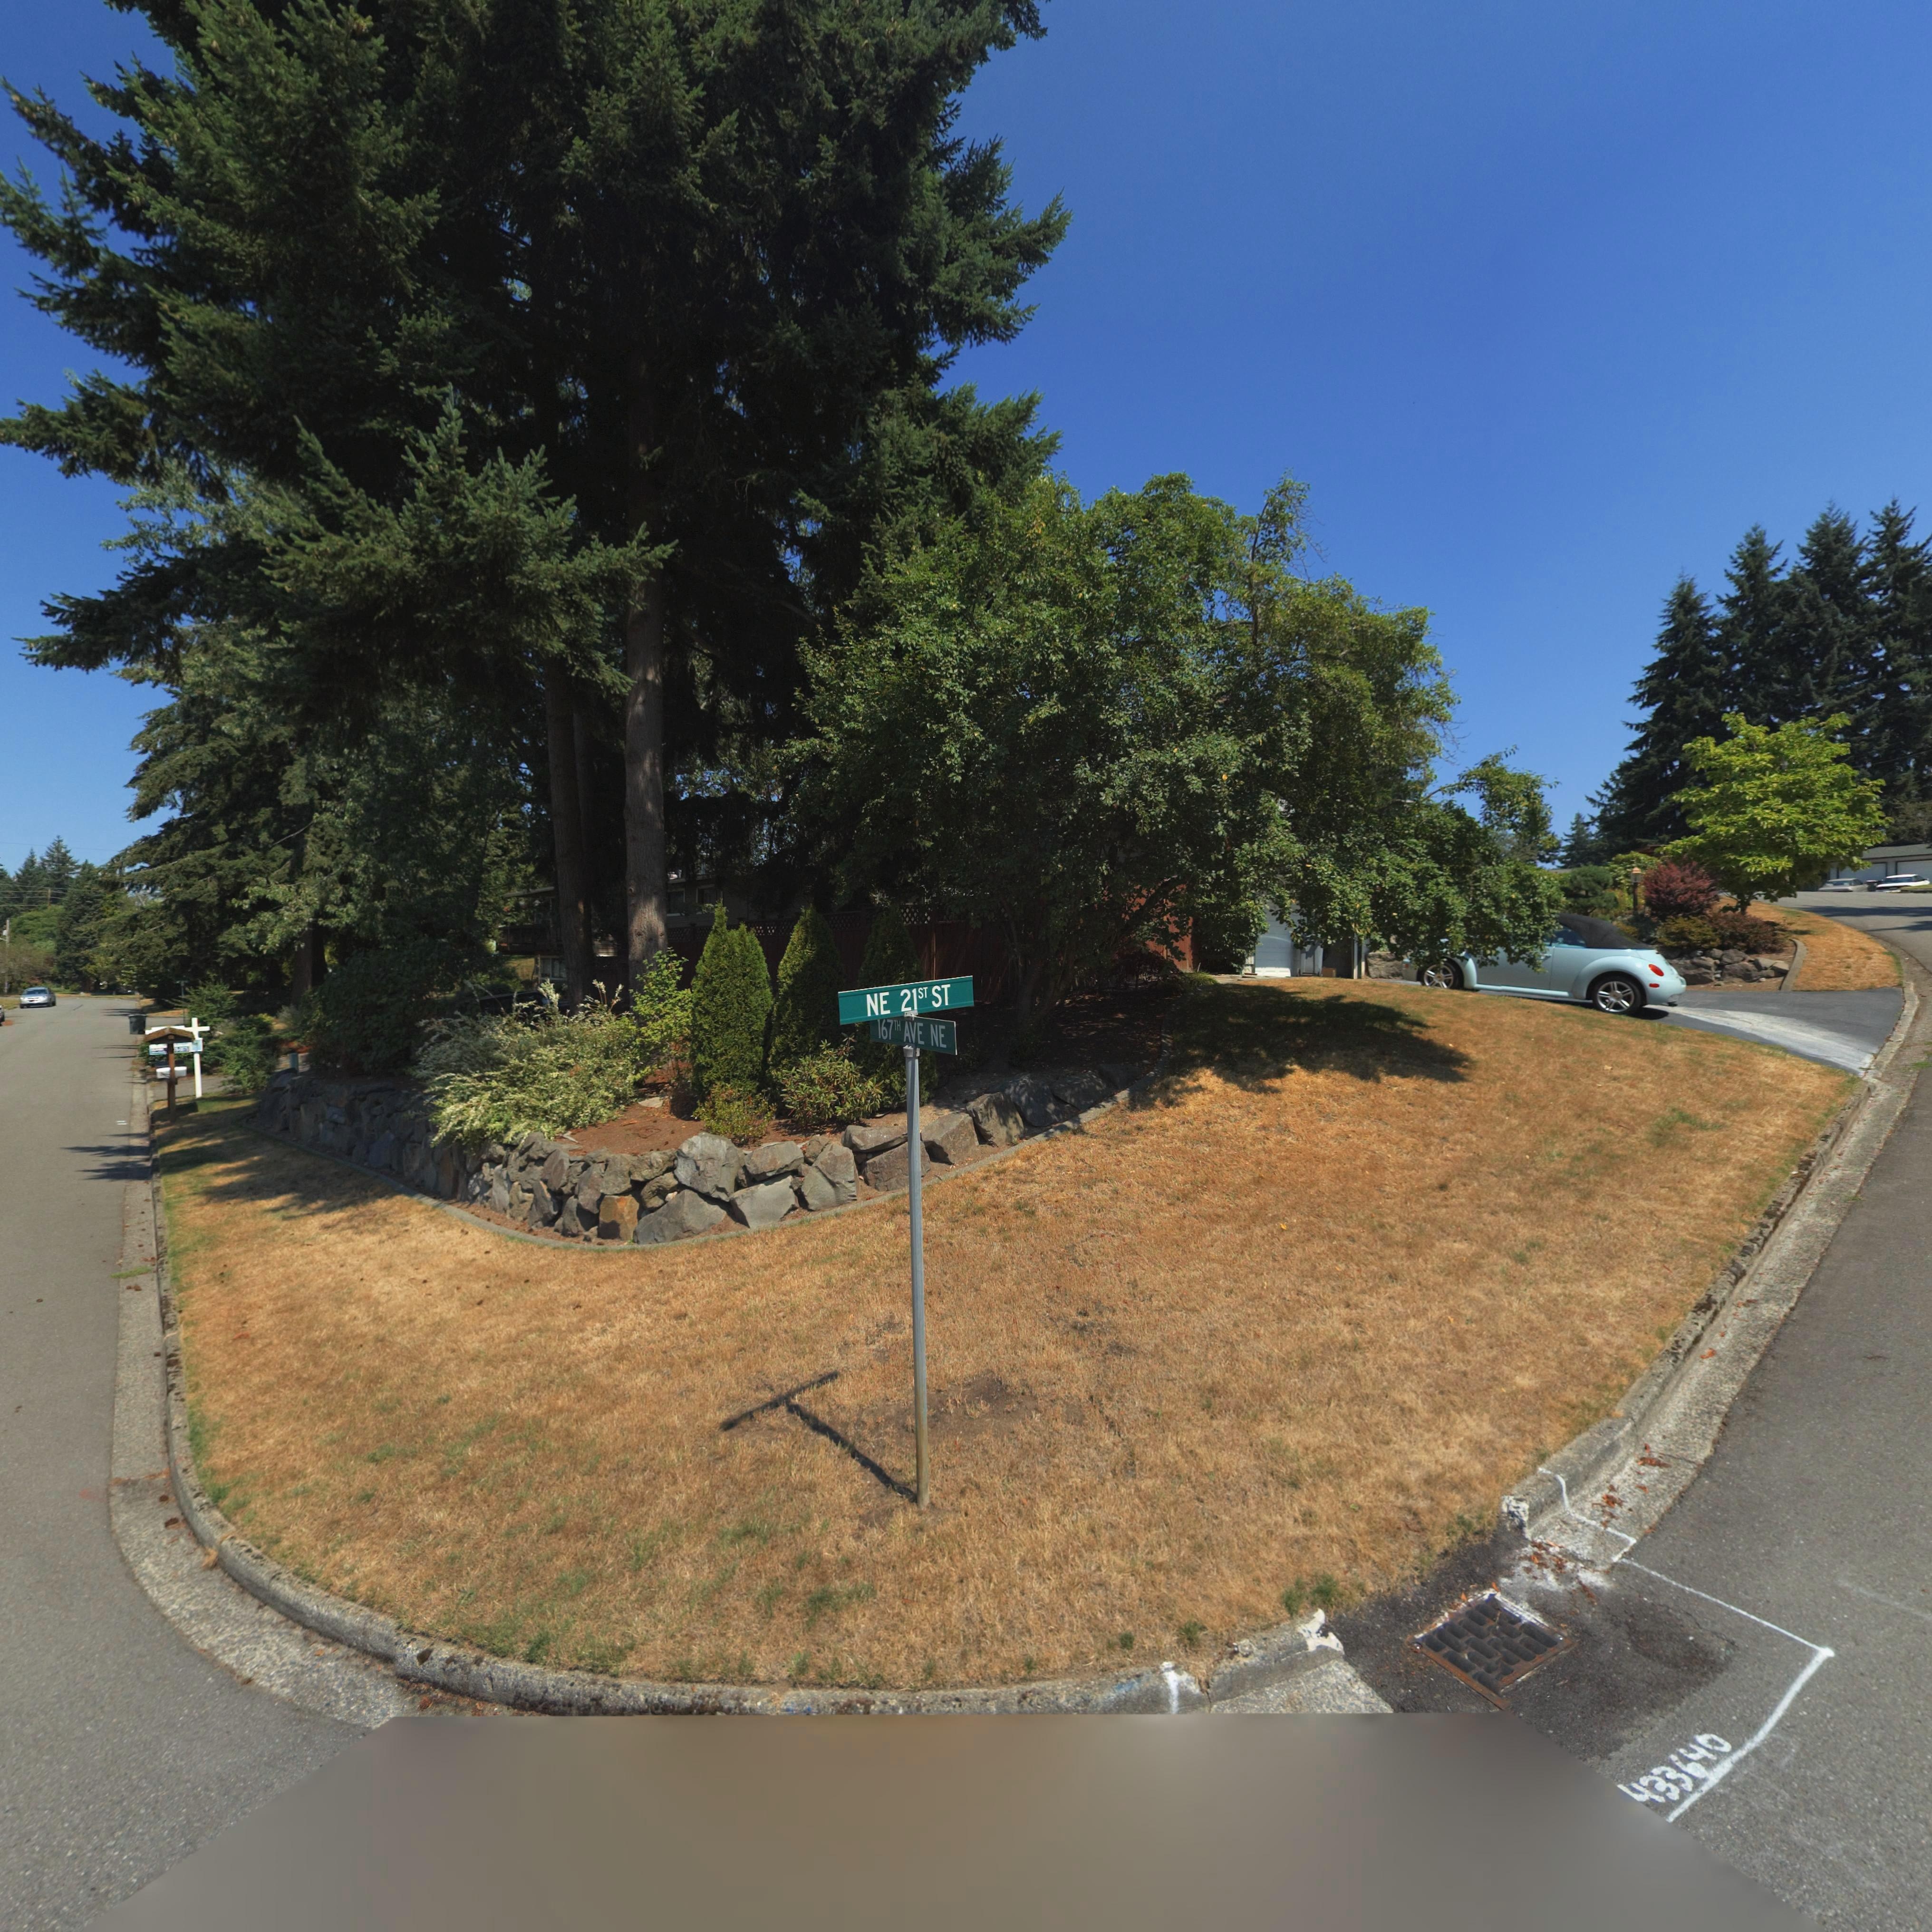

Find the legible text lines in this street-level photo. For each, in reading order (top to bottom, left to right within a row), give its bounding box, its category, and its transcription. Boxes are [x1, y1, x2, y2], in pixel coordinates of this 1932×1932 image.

[865, 984, 952, 1016] StreetName: NE 2 ST
[877, 1019, 947, 1048] StreetName: 167TH AVE NE